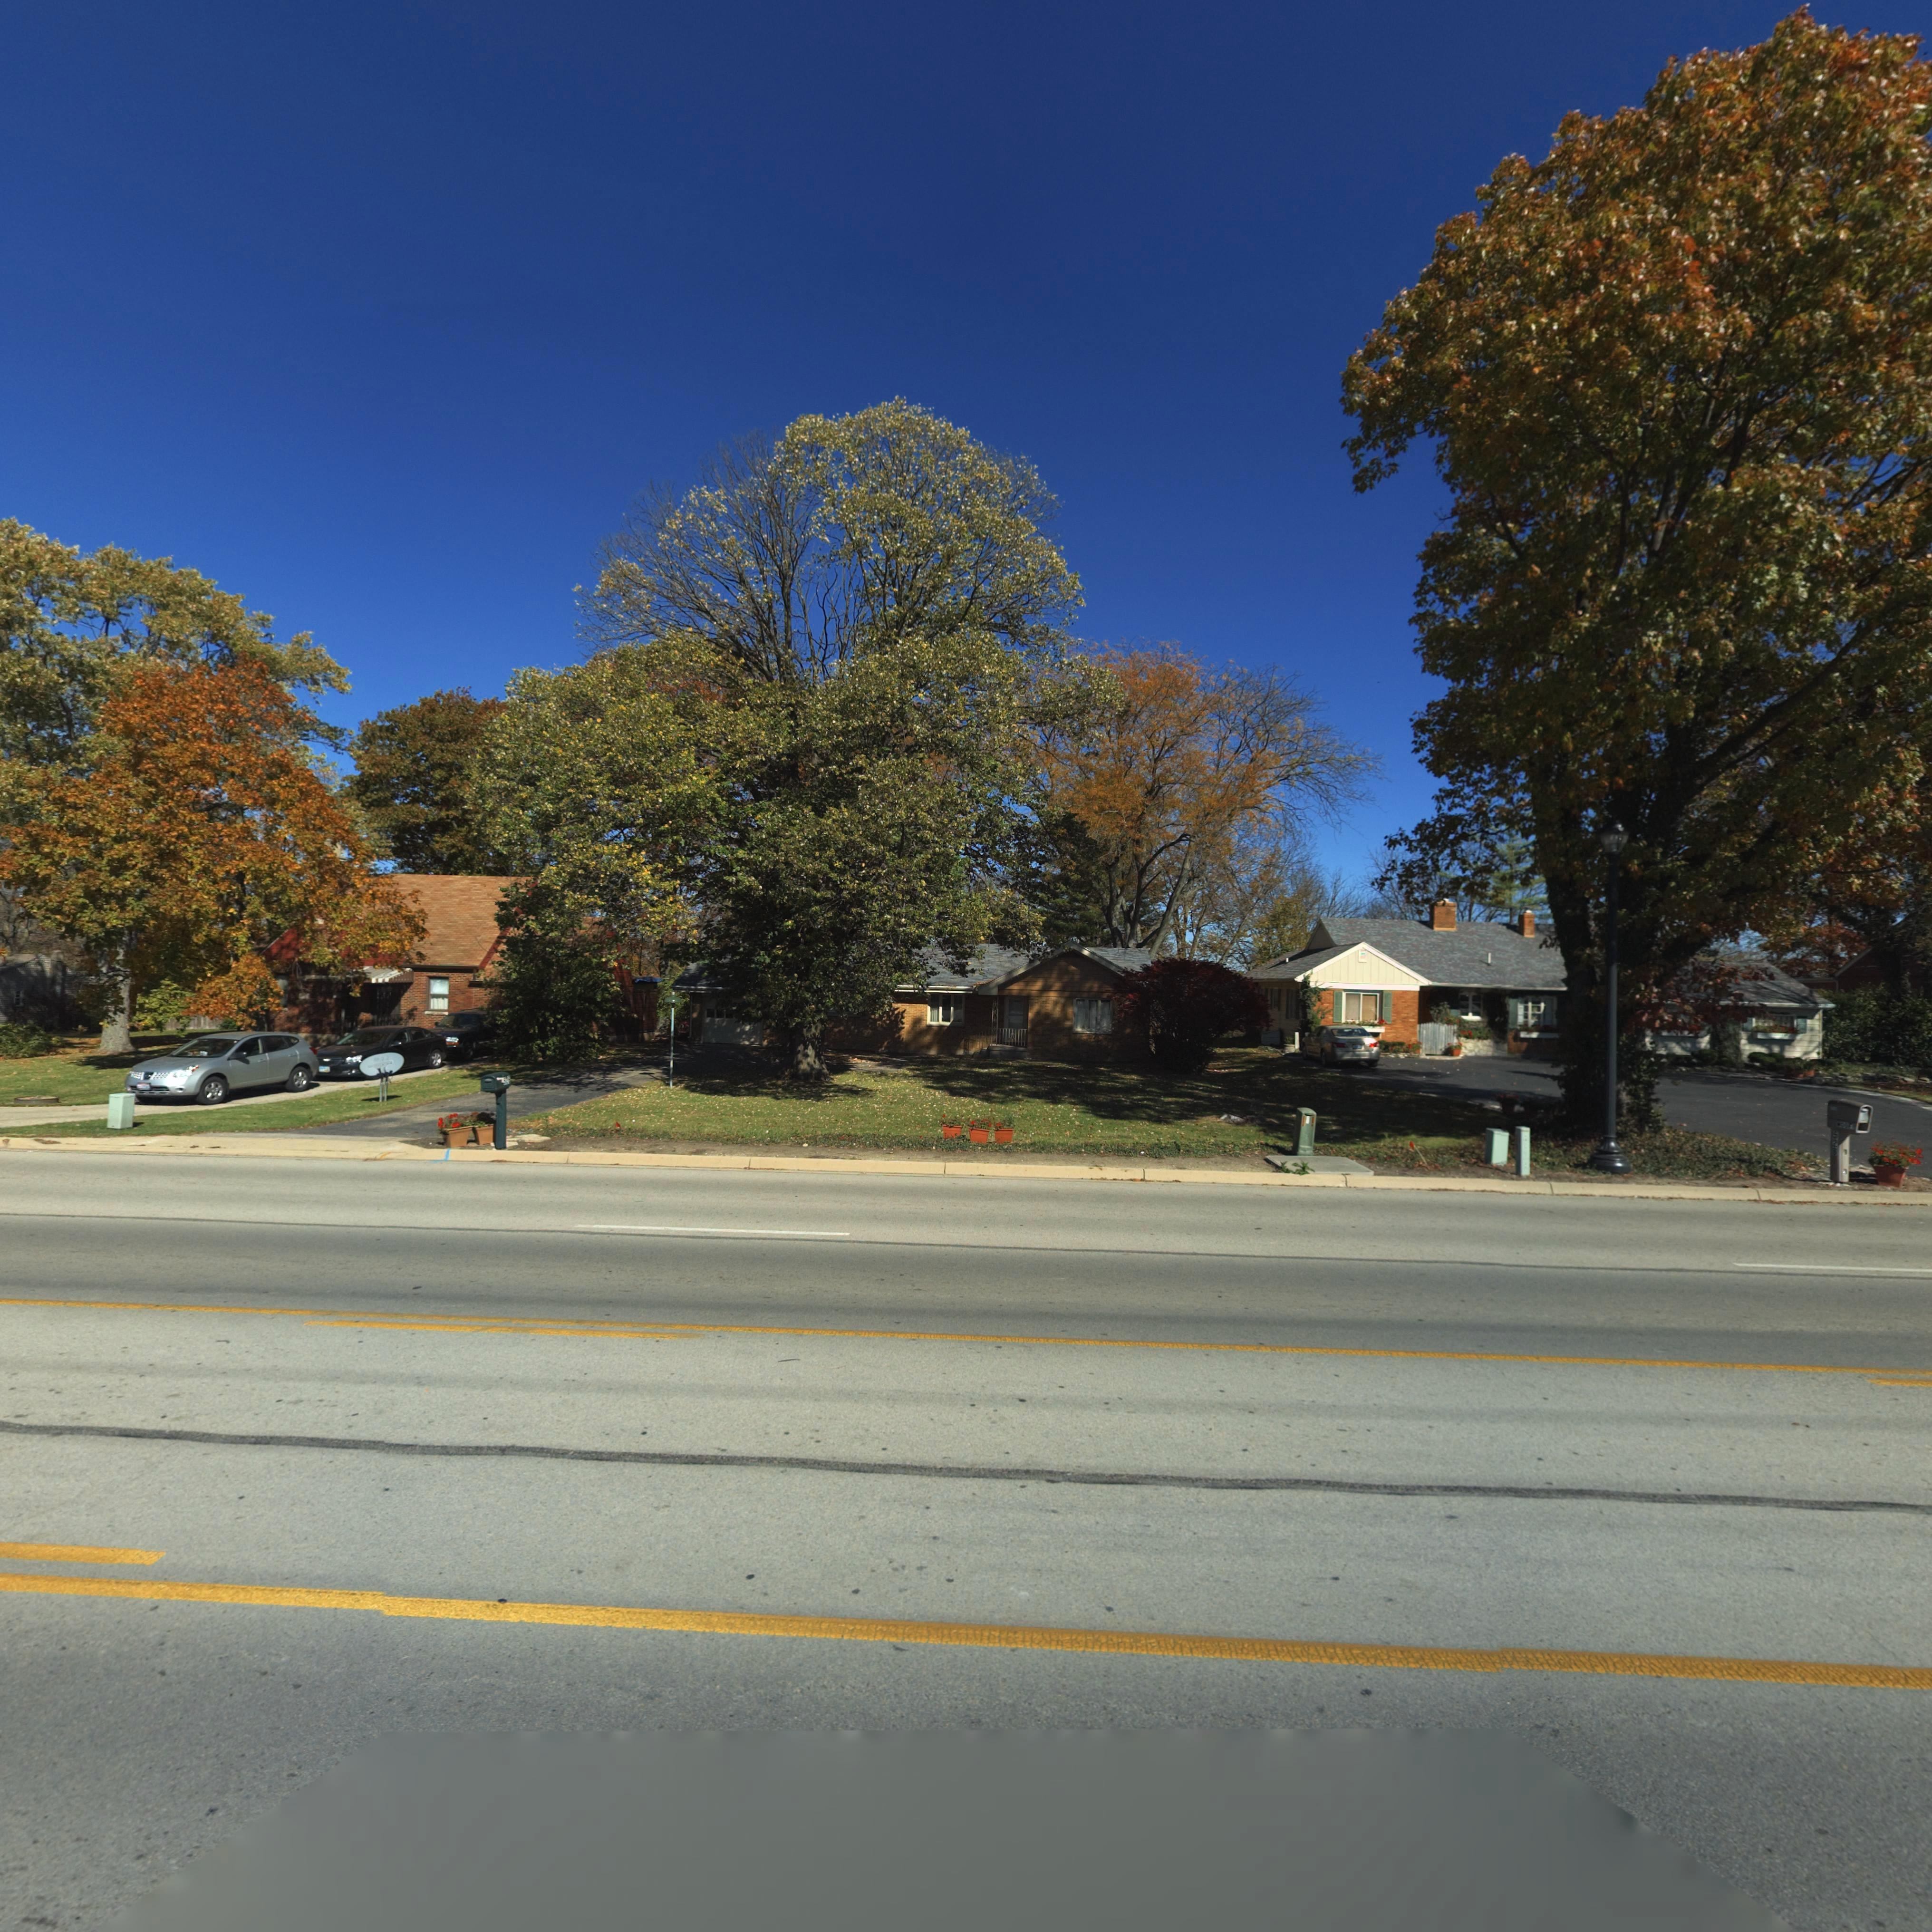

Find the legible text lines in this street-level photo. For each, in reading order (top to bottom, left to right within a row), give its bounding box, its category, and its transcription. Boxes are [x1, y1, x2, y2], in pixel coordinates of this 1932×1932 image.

[1830, 1129, 1839, 1158] StreetNumber: 52*